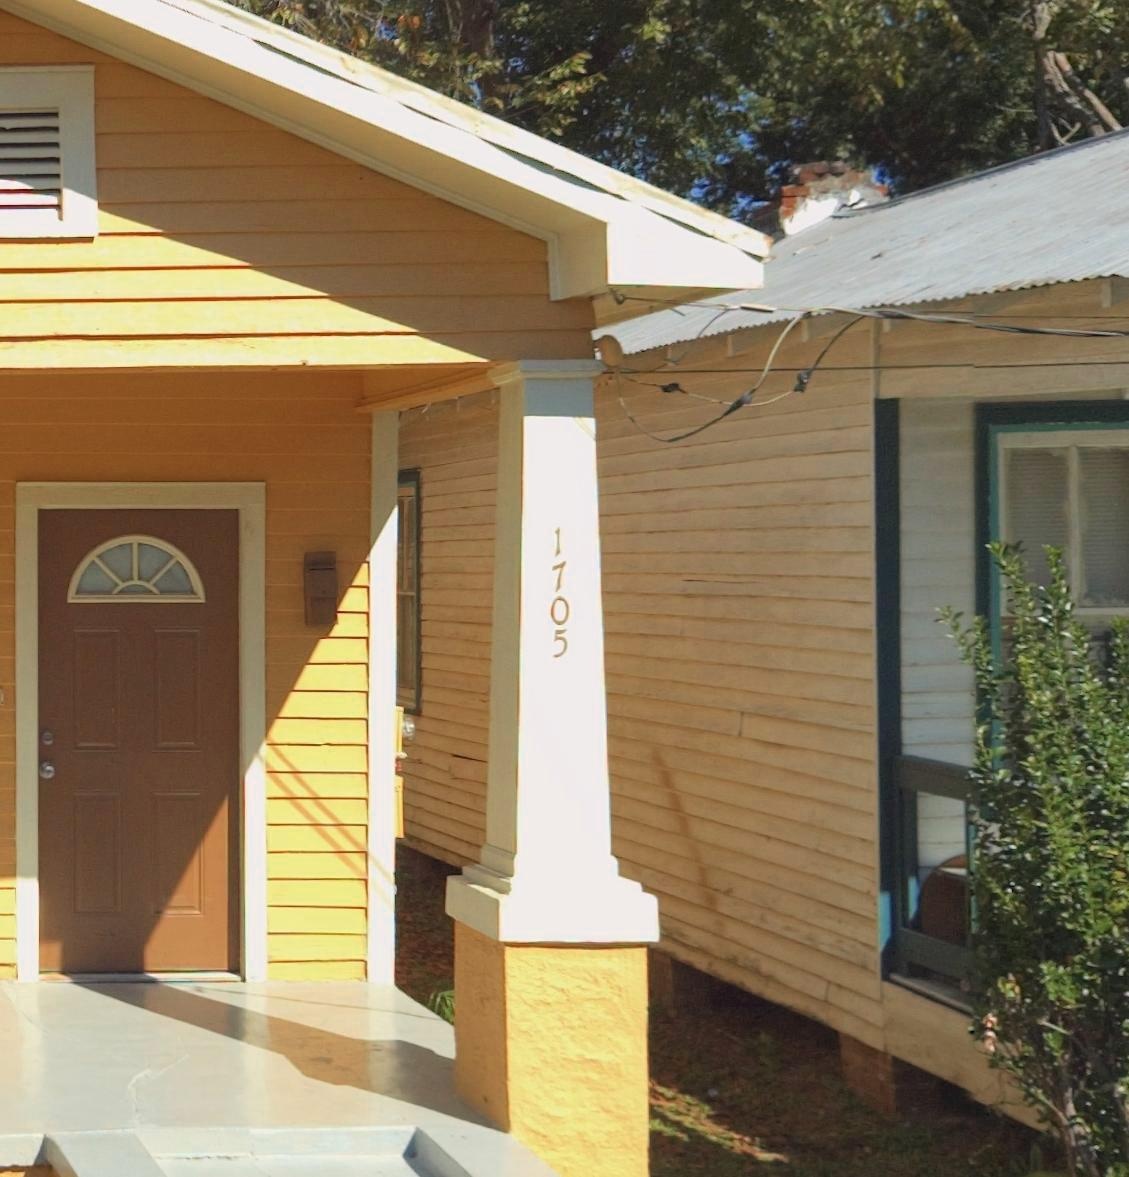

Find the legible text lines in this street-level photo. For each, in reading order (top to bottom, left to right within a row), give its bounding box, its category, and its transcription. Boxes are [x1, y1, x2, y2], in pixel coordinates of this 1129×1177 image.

[546, 523, 574, 662] StreetNumber: 1705